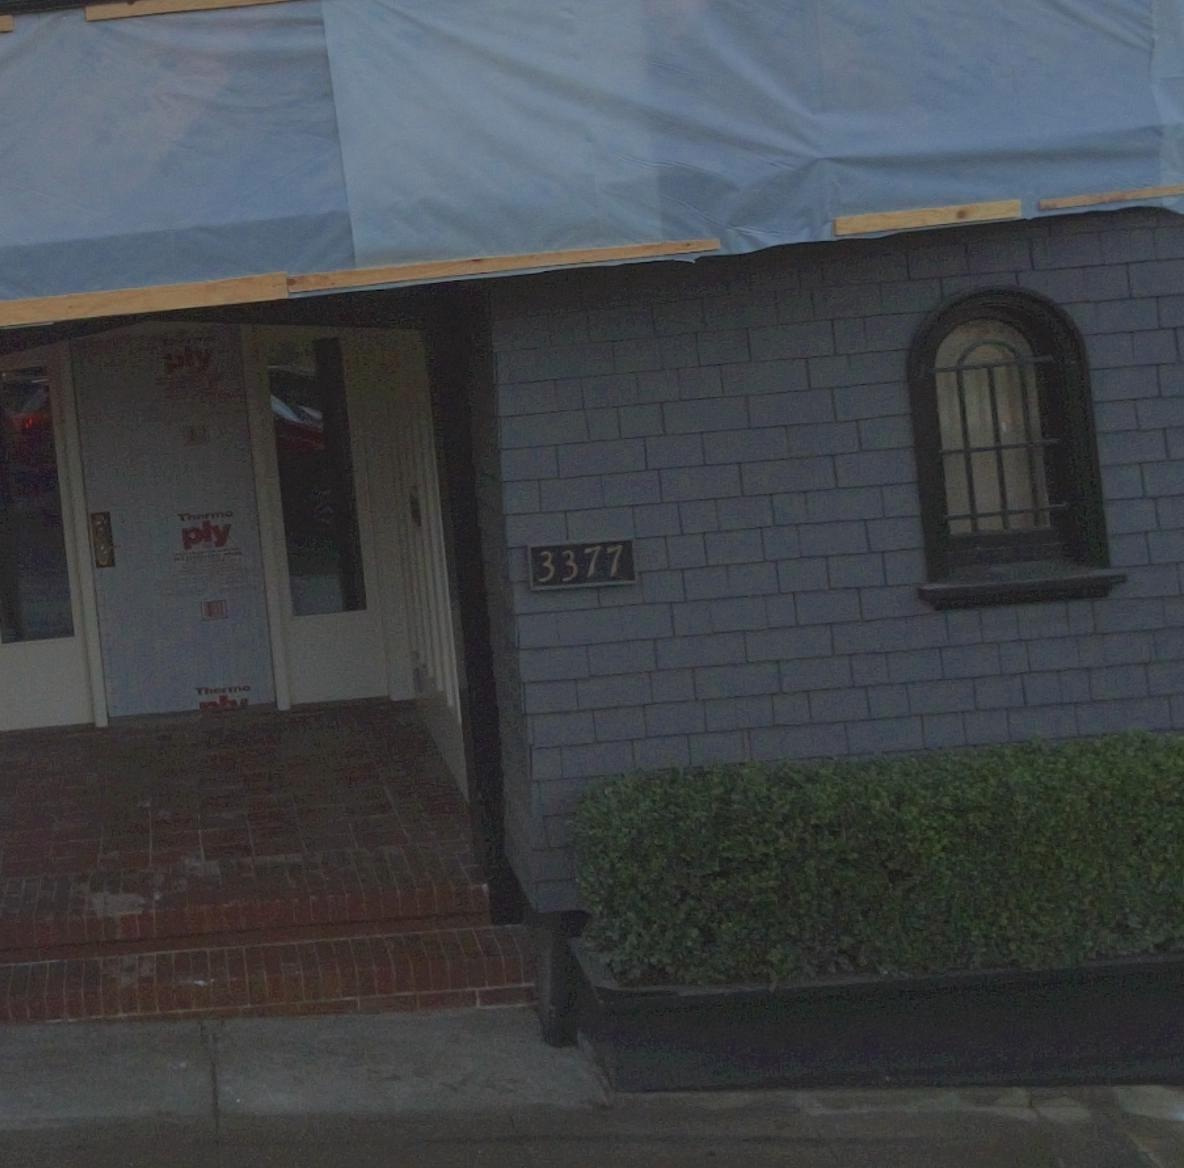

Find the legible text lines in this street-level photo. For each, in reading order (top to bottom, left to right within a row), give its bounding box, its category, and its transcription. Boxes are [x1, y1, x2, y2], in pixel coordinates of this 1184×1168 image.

[174, 507, 237, 526] None: Thermo
[176, 516, 236, 553] None: ply
[533, 541, 628, 587] StreetNumber: 3377
[192, 681, 255, 700] None: Thermo